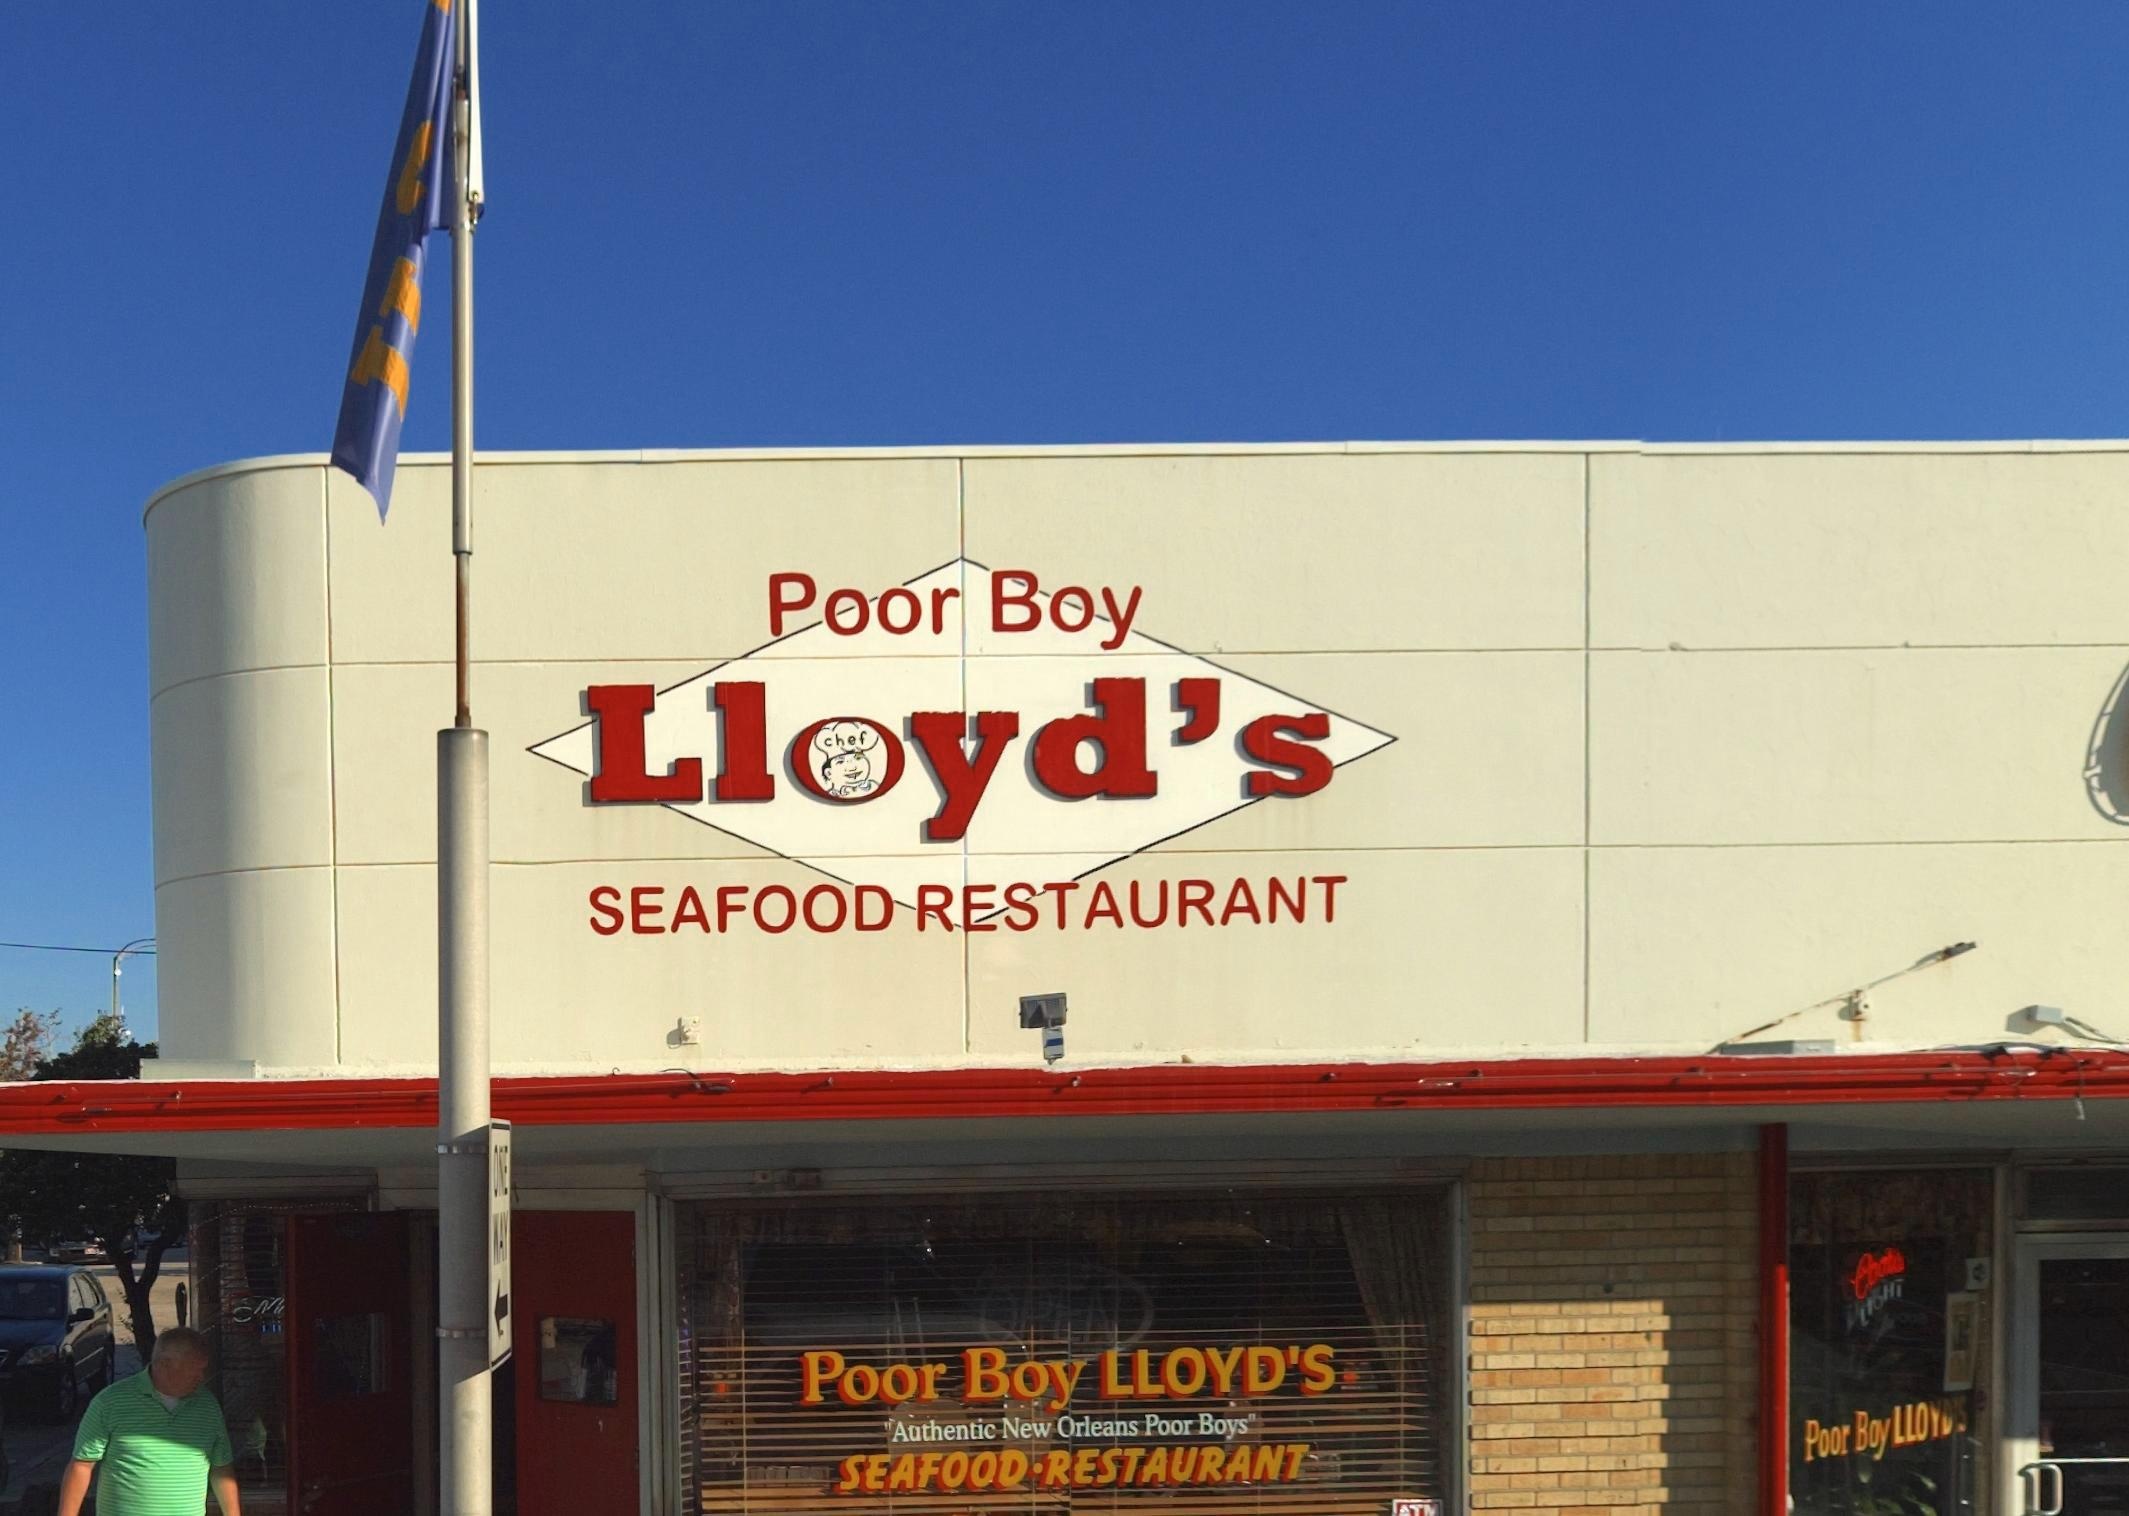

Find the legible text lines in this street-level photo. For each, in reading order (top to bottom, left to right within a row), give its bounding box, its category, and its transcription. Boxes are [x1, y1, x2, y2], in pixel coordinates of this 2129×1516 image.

[765, 567, 1156, 654] BusinessName: Poor Boy
[580, 670, 1339, 850] BusinessName: Lloyd's
[586, 872, 1354, 941] BusinessName: SEAFOOD RESTAURANT
[1856, 1275, 1906, 1332] None: LIGHT
[795, 1339, 1340, 1418] BusinessName: Poor Boy LLOYD'S
[887, 1410, 1252, 1444] None: Authentic New Orleans Poor Boys
[1800, 1392, 1971, 1467] BusinessName: Poor Boy LLOYD'S
[826, 1441, 1316, 1497] BusinessName: SEAFOOD*RESTAURANT